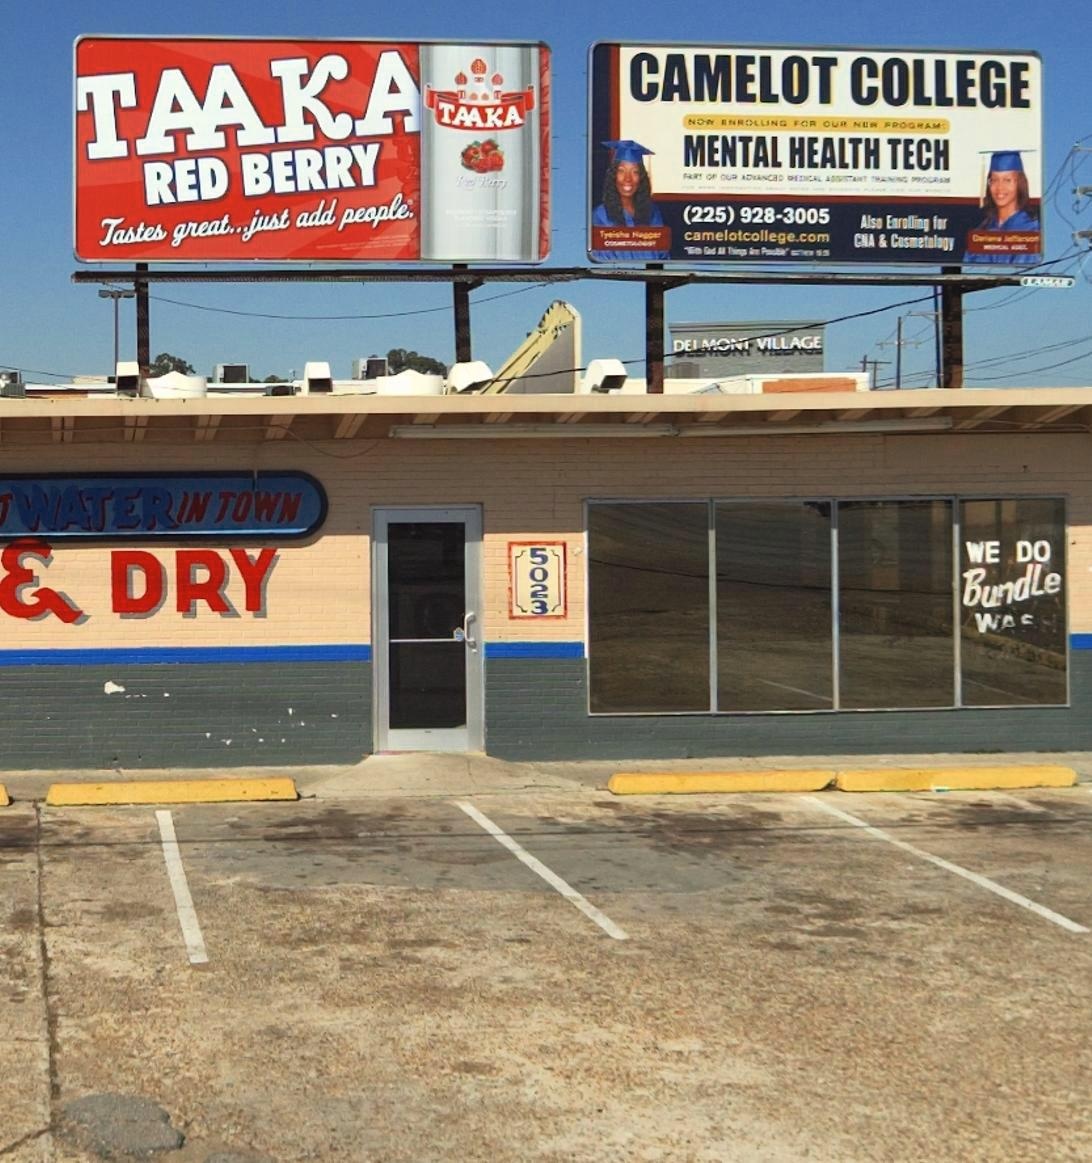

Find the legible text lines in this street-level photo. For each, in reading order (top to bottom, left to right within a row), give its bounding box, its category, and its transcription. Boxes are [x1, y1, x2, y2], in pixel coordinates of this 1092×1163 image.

[629, 50, 1032, 109] None: CAMELOT COLLEGE
[77, 48, 421, 162] None: TAAKA
[437, 98, 527, 130] None: TAAKA
[686, 117, 942, 131] None: NOW ENROLLING FOR OUR *** PROGRAM
[683, 133, 951, 172] None: MENTAL HEALTH TECH
[139, 139, 385, 209] None: RED BERRY
[96, 190, 410, 250] None: Tastes great...just add people
[683, 228, 832, 246] None: camelotcollege.com
[690, 205, 832, 224] None: 225) 928-3005
[858, 212, 949, 234] None: Also Enrolling for
[852, 231, 957, 253] None: CMA & Cosmetology
[754, 334, 824, 353] None: VILLAGE
[5, 482, 308, 532] BusinessName: WATER IN TOWN
[961, 537, 1055, 566] None: WE DO
[108, 545, 281, 615] None: DRY
[529, 546, 549, 616] StreetNumber: 5023
[959, 561, 1065, 610] None: Bundle